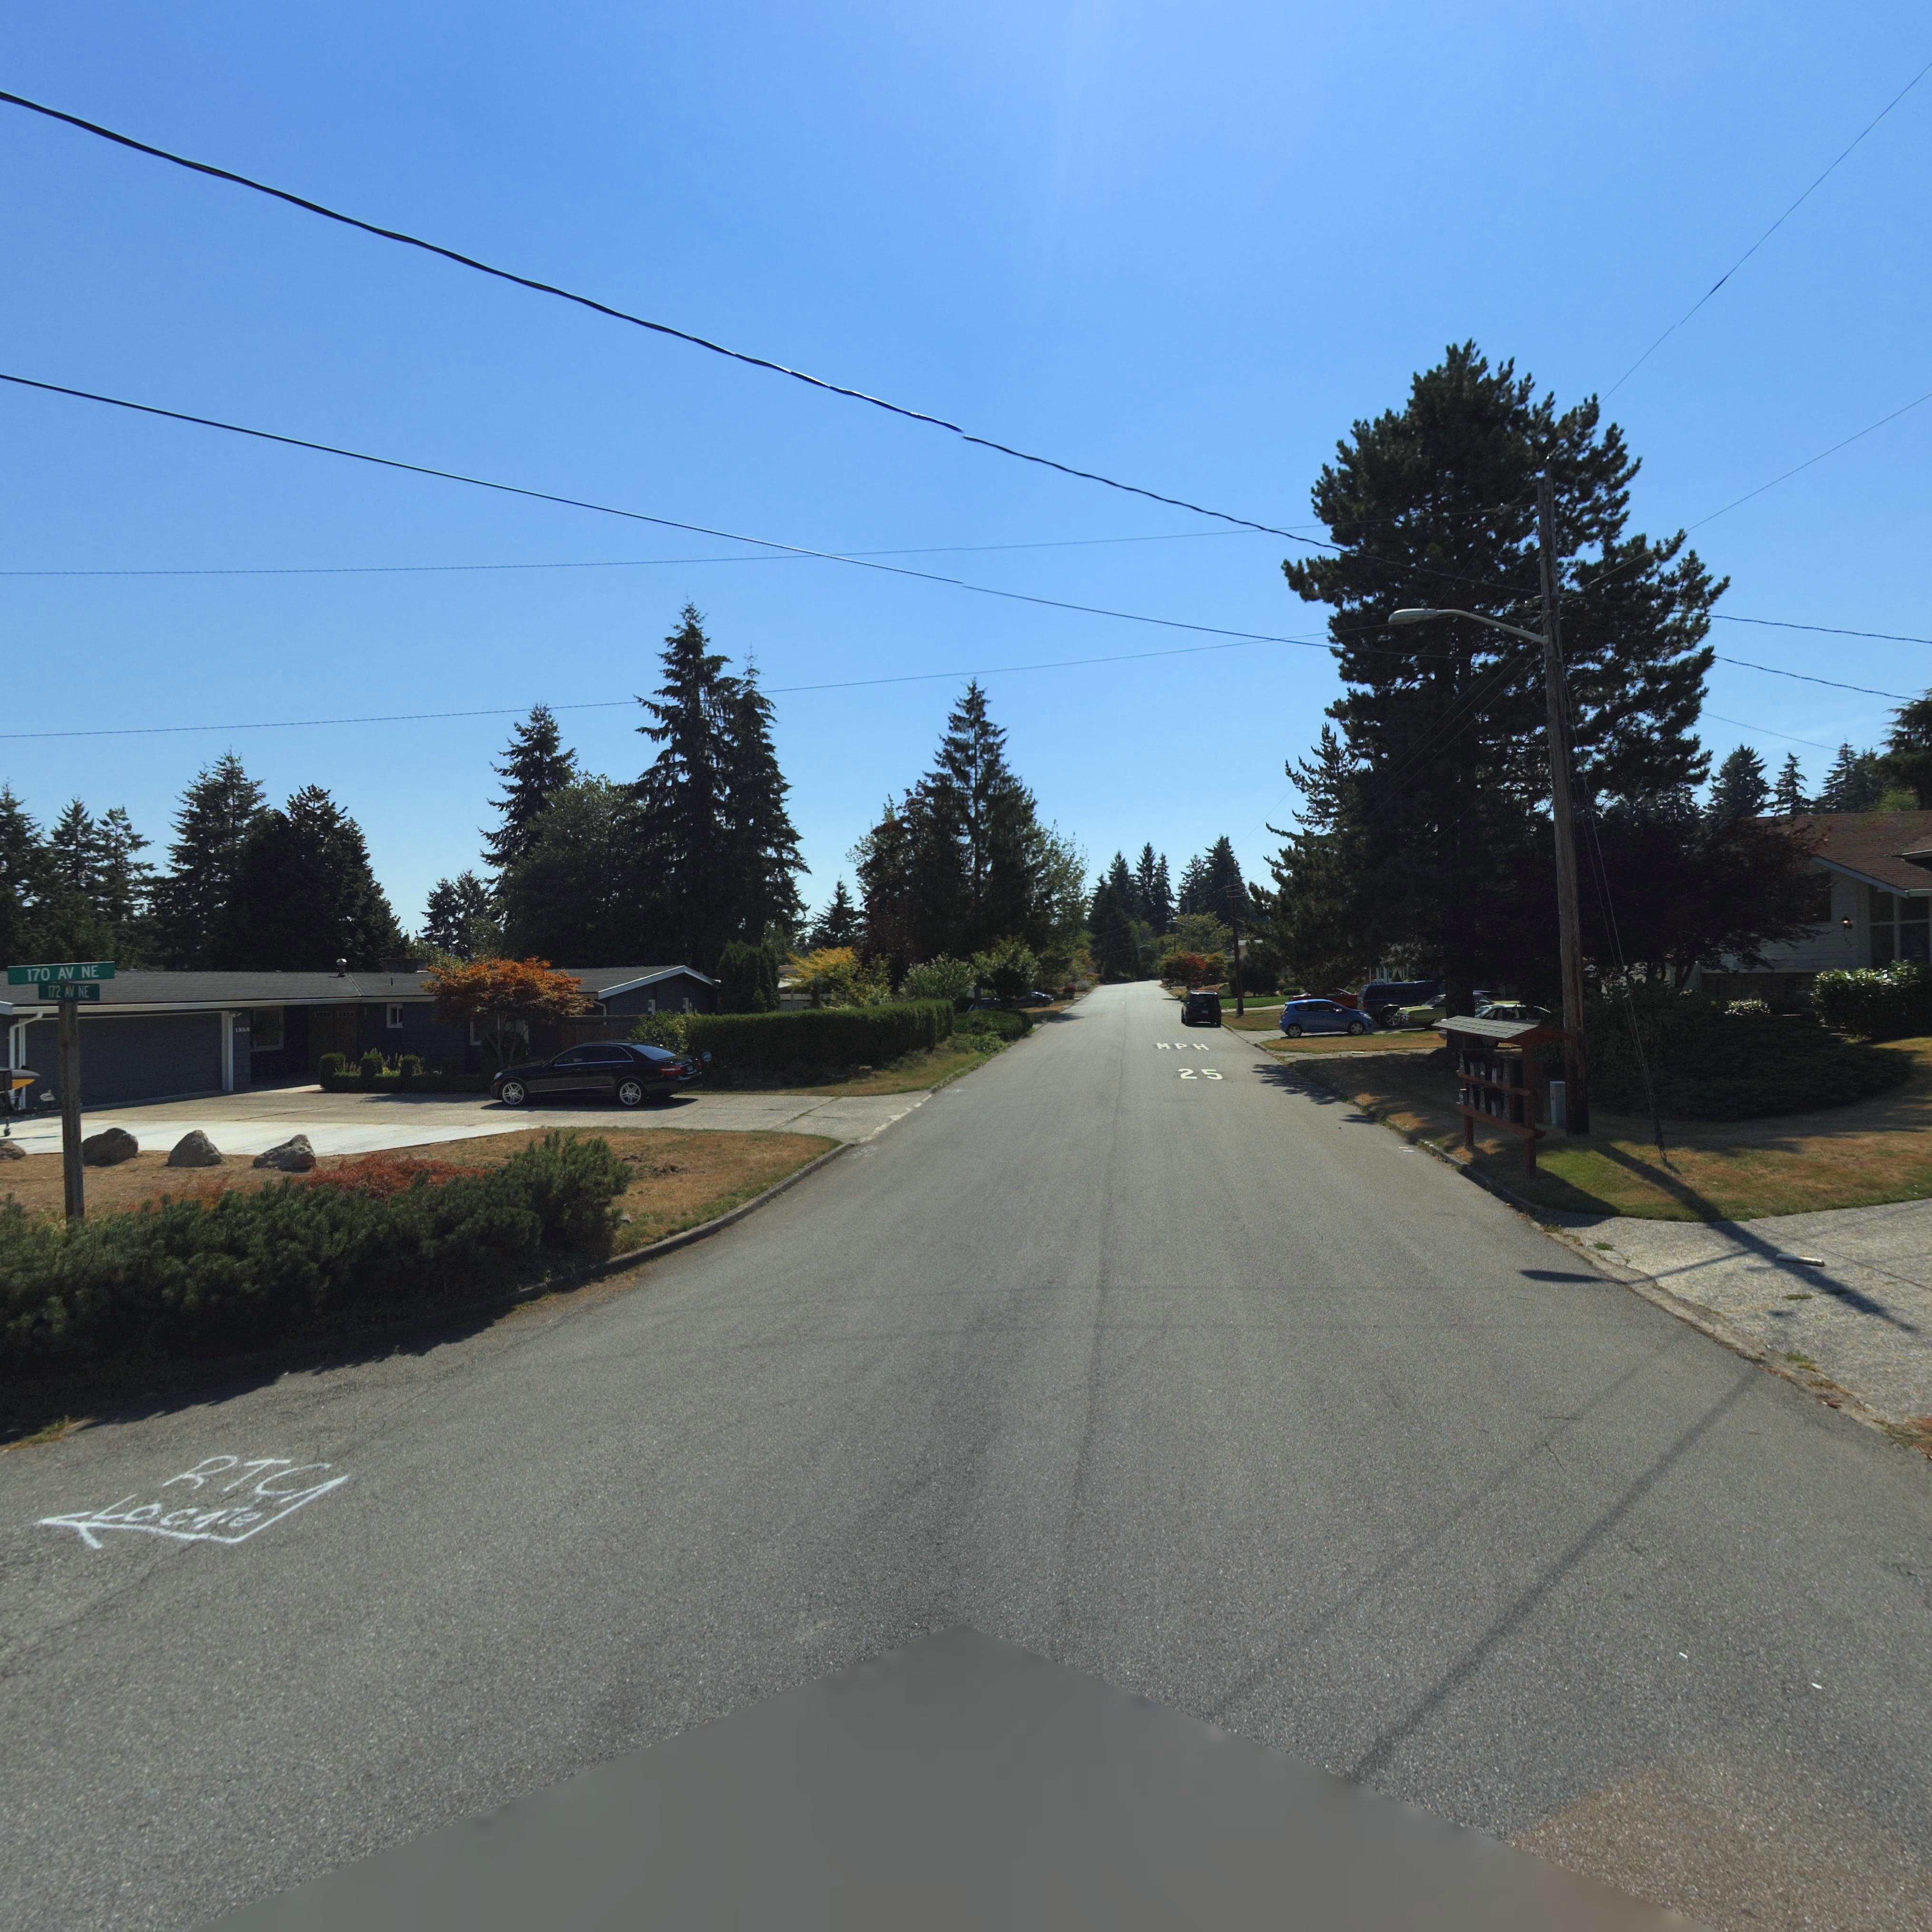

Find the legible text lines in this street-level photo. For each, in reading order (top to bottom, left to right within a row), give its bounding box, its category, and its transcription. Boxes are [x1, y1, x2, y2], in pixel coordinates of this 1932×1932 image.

[27, 965, 99, 981] StreetName: 170 AV NE
[48, 985, 88, 998] StreetName: 172 AV NE
[234, 1025, 250, 1032] StreetNumber: 12**